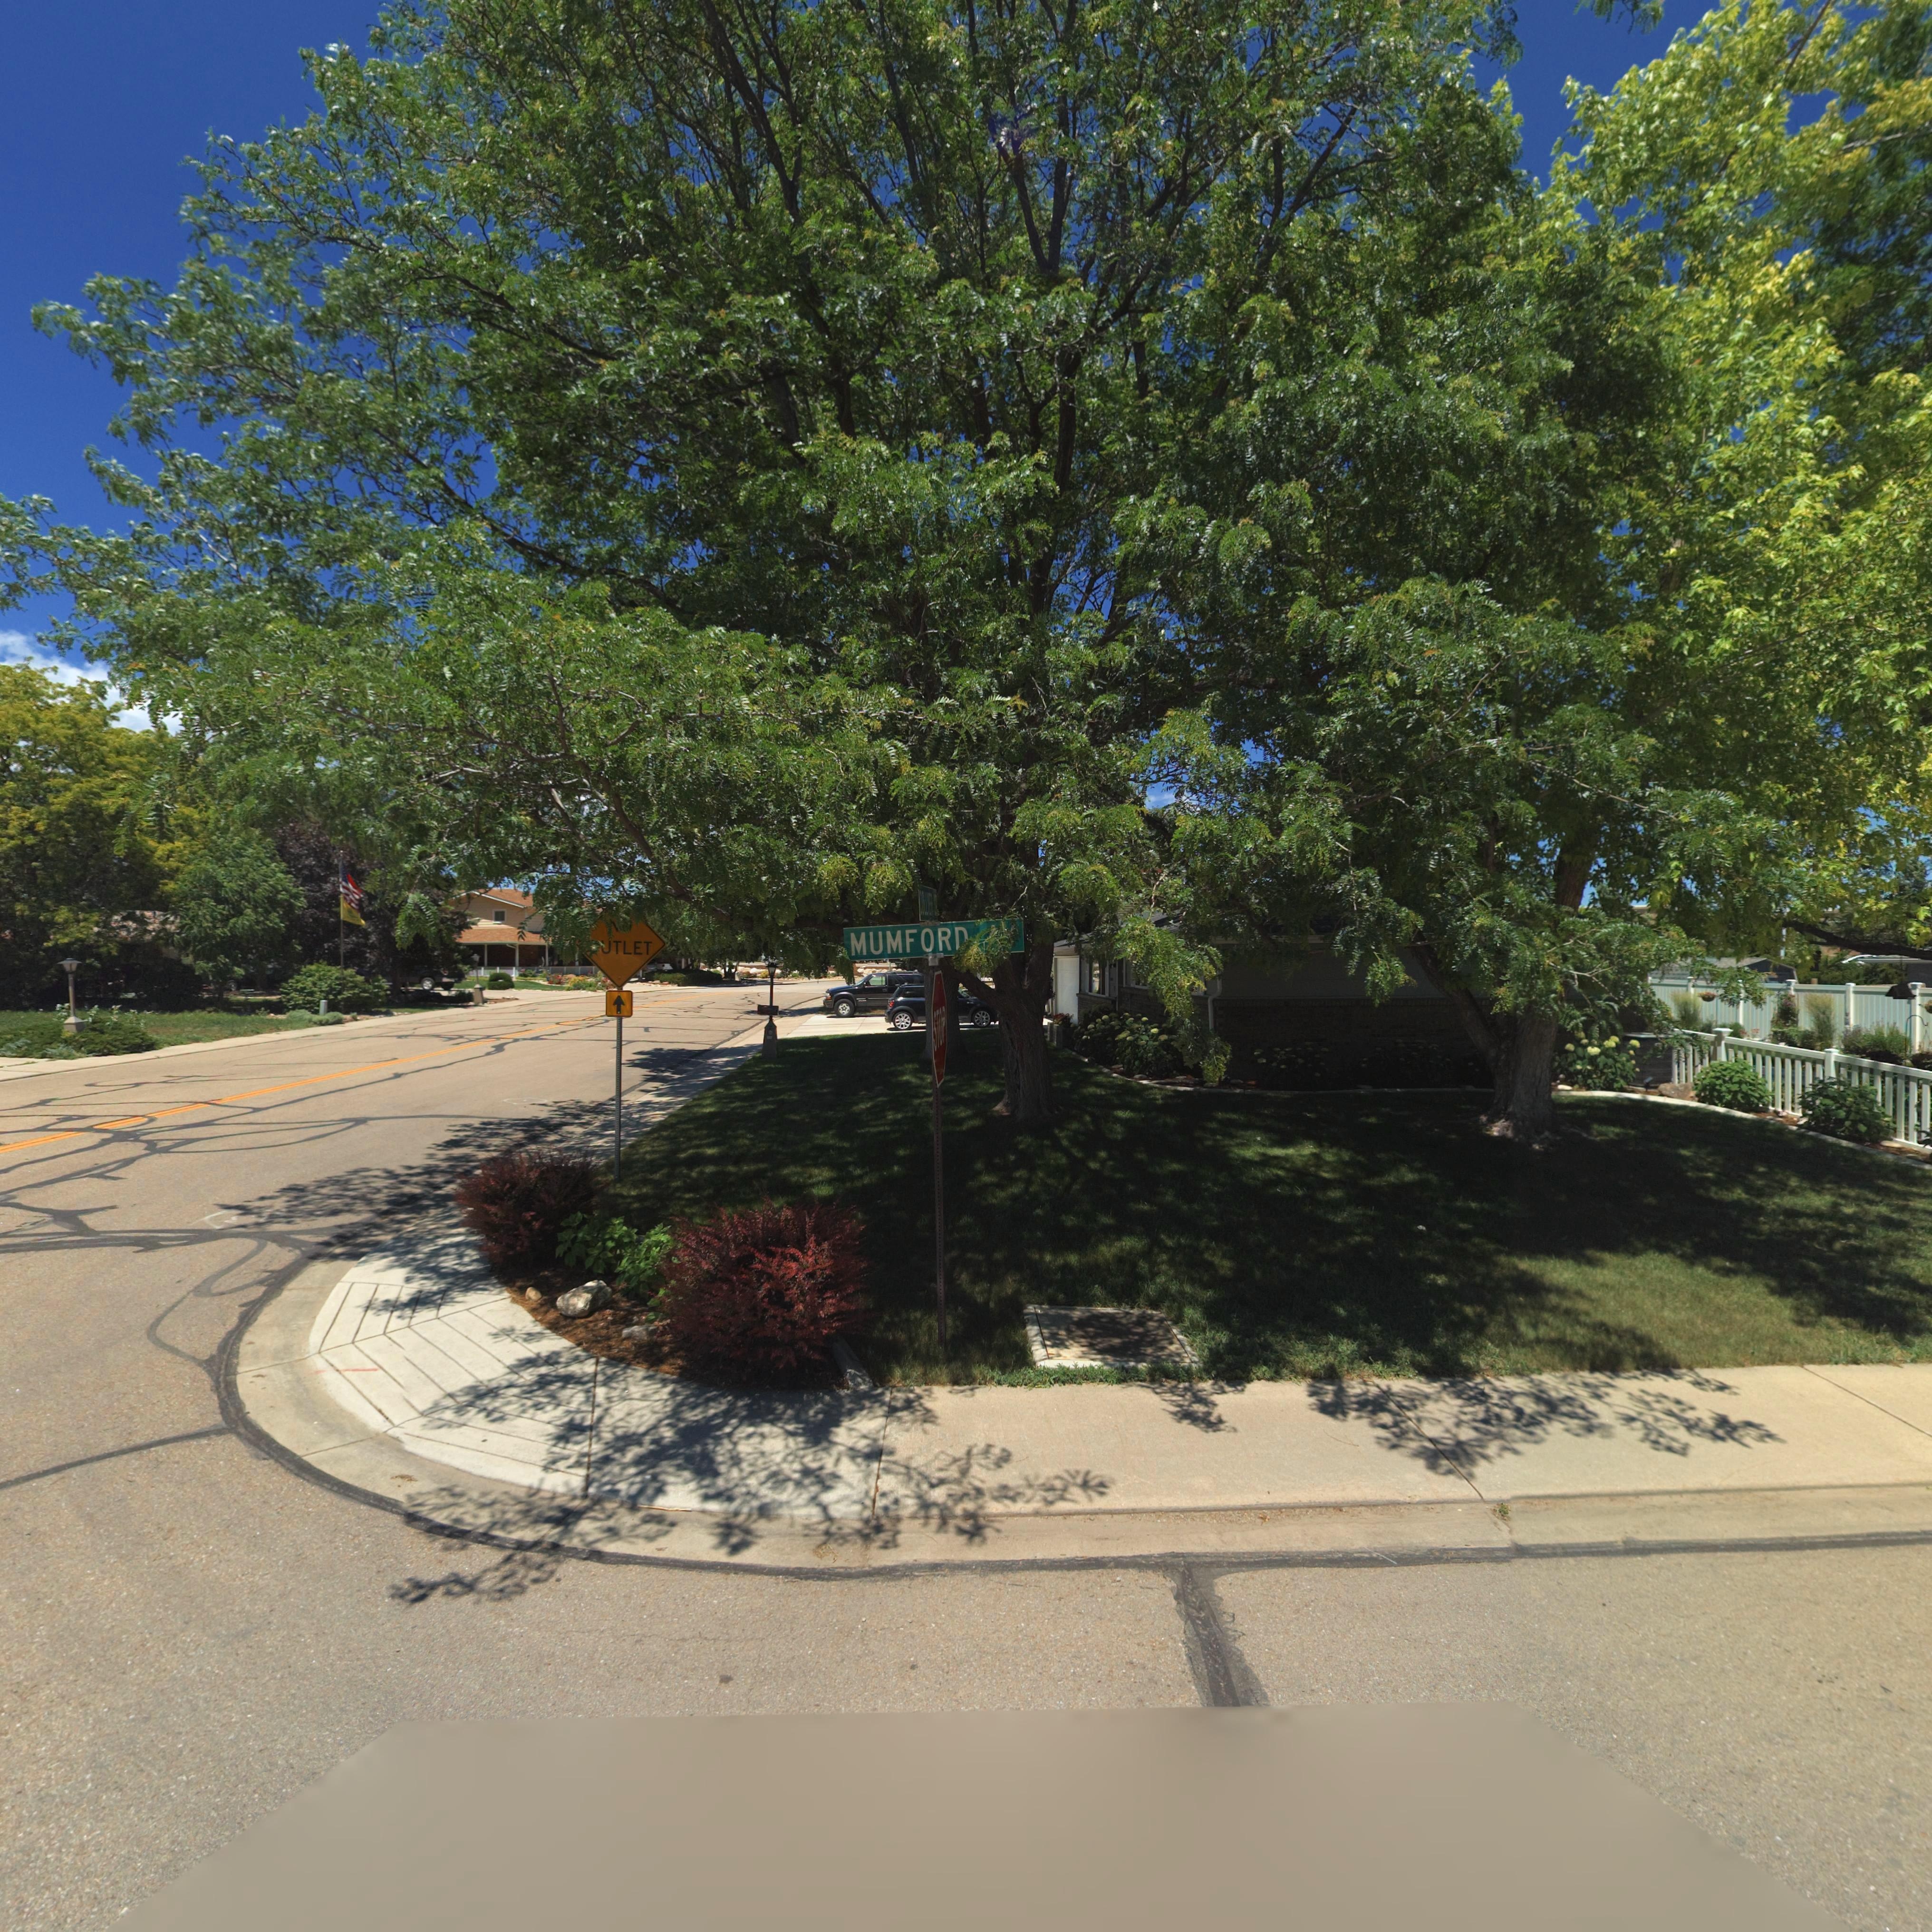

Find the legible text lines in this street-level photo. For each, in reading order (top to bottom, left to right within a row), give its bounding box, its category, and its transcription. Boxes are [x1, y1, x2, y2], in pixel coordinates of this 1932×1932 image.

[849, 926, 969, 957] StreetName: MUMFORD